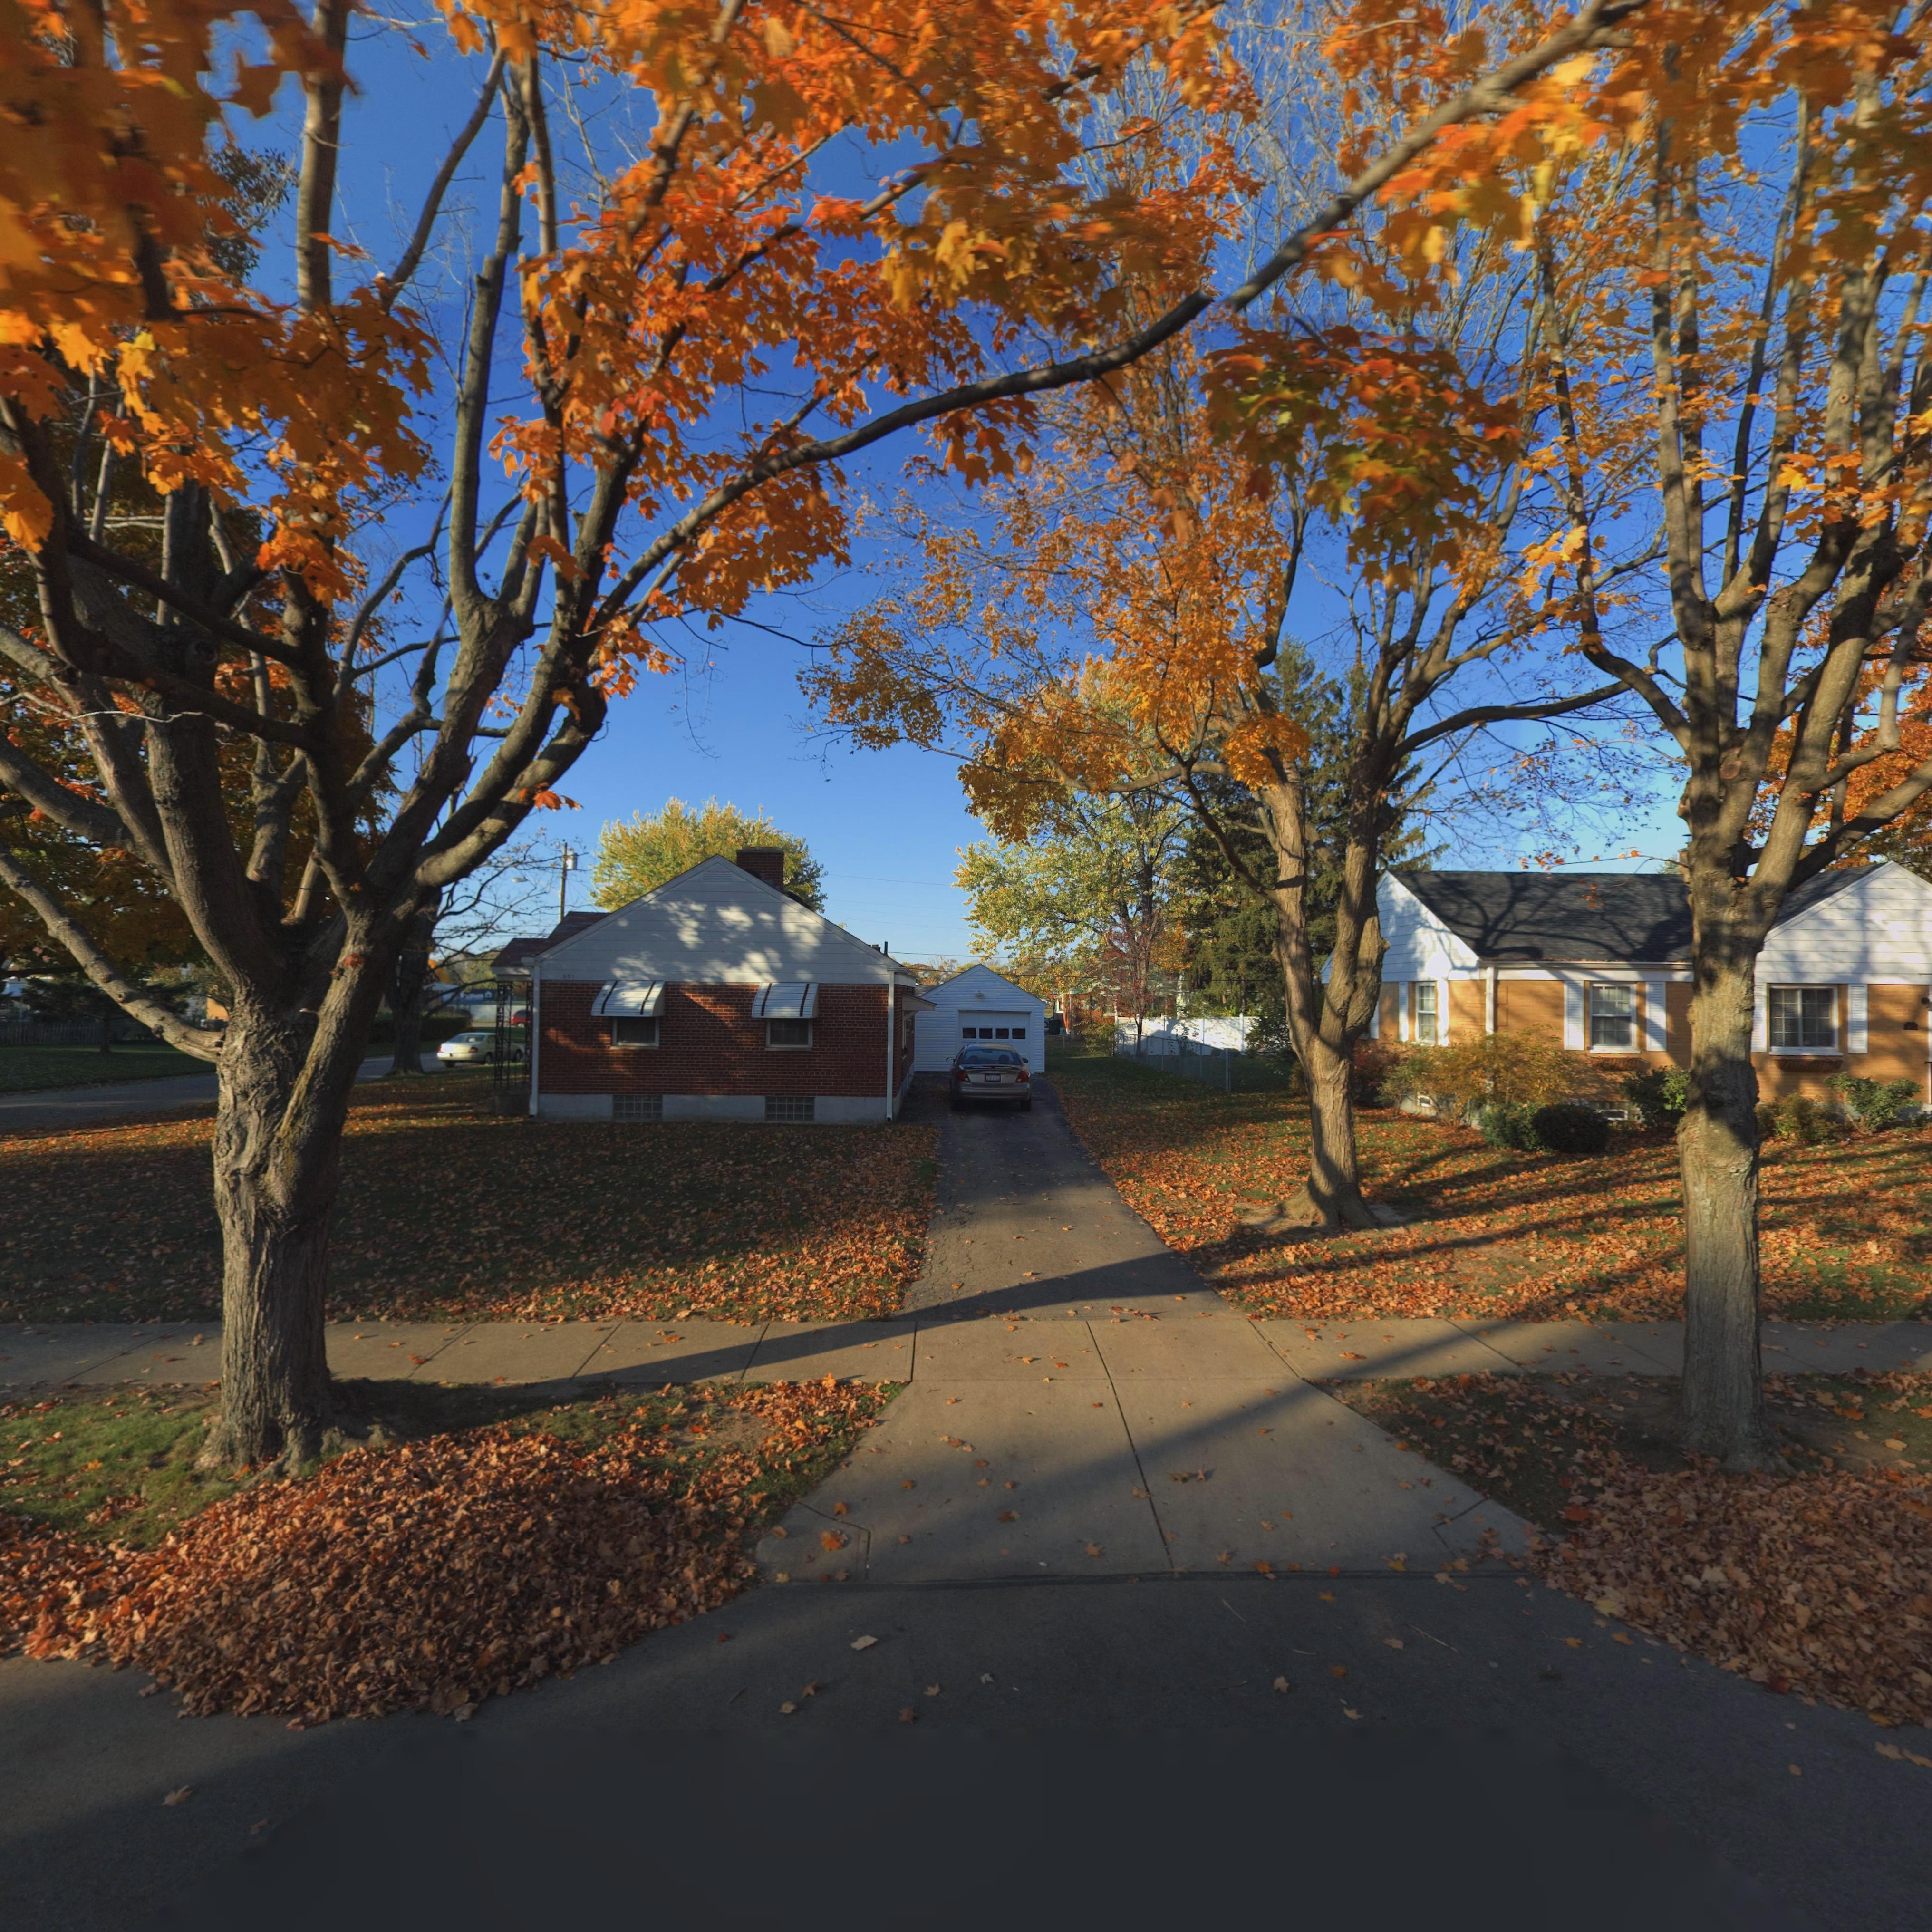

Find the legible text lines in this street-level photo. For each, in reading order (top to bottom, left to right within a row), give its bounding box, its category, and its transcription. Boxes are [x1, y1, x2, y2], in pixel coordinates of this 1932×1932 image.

[562, 974, 575, 979] StreetNumber: 301